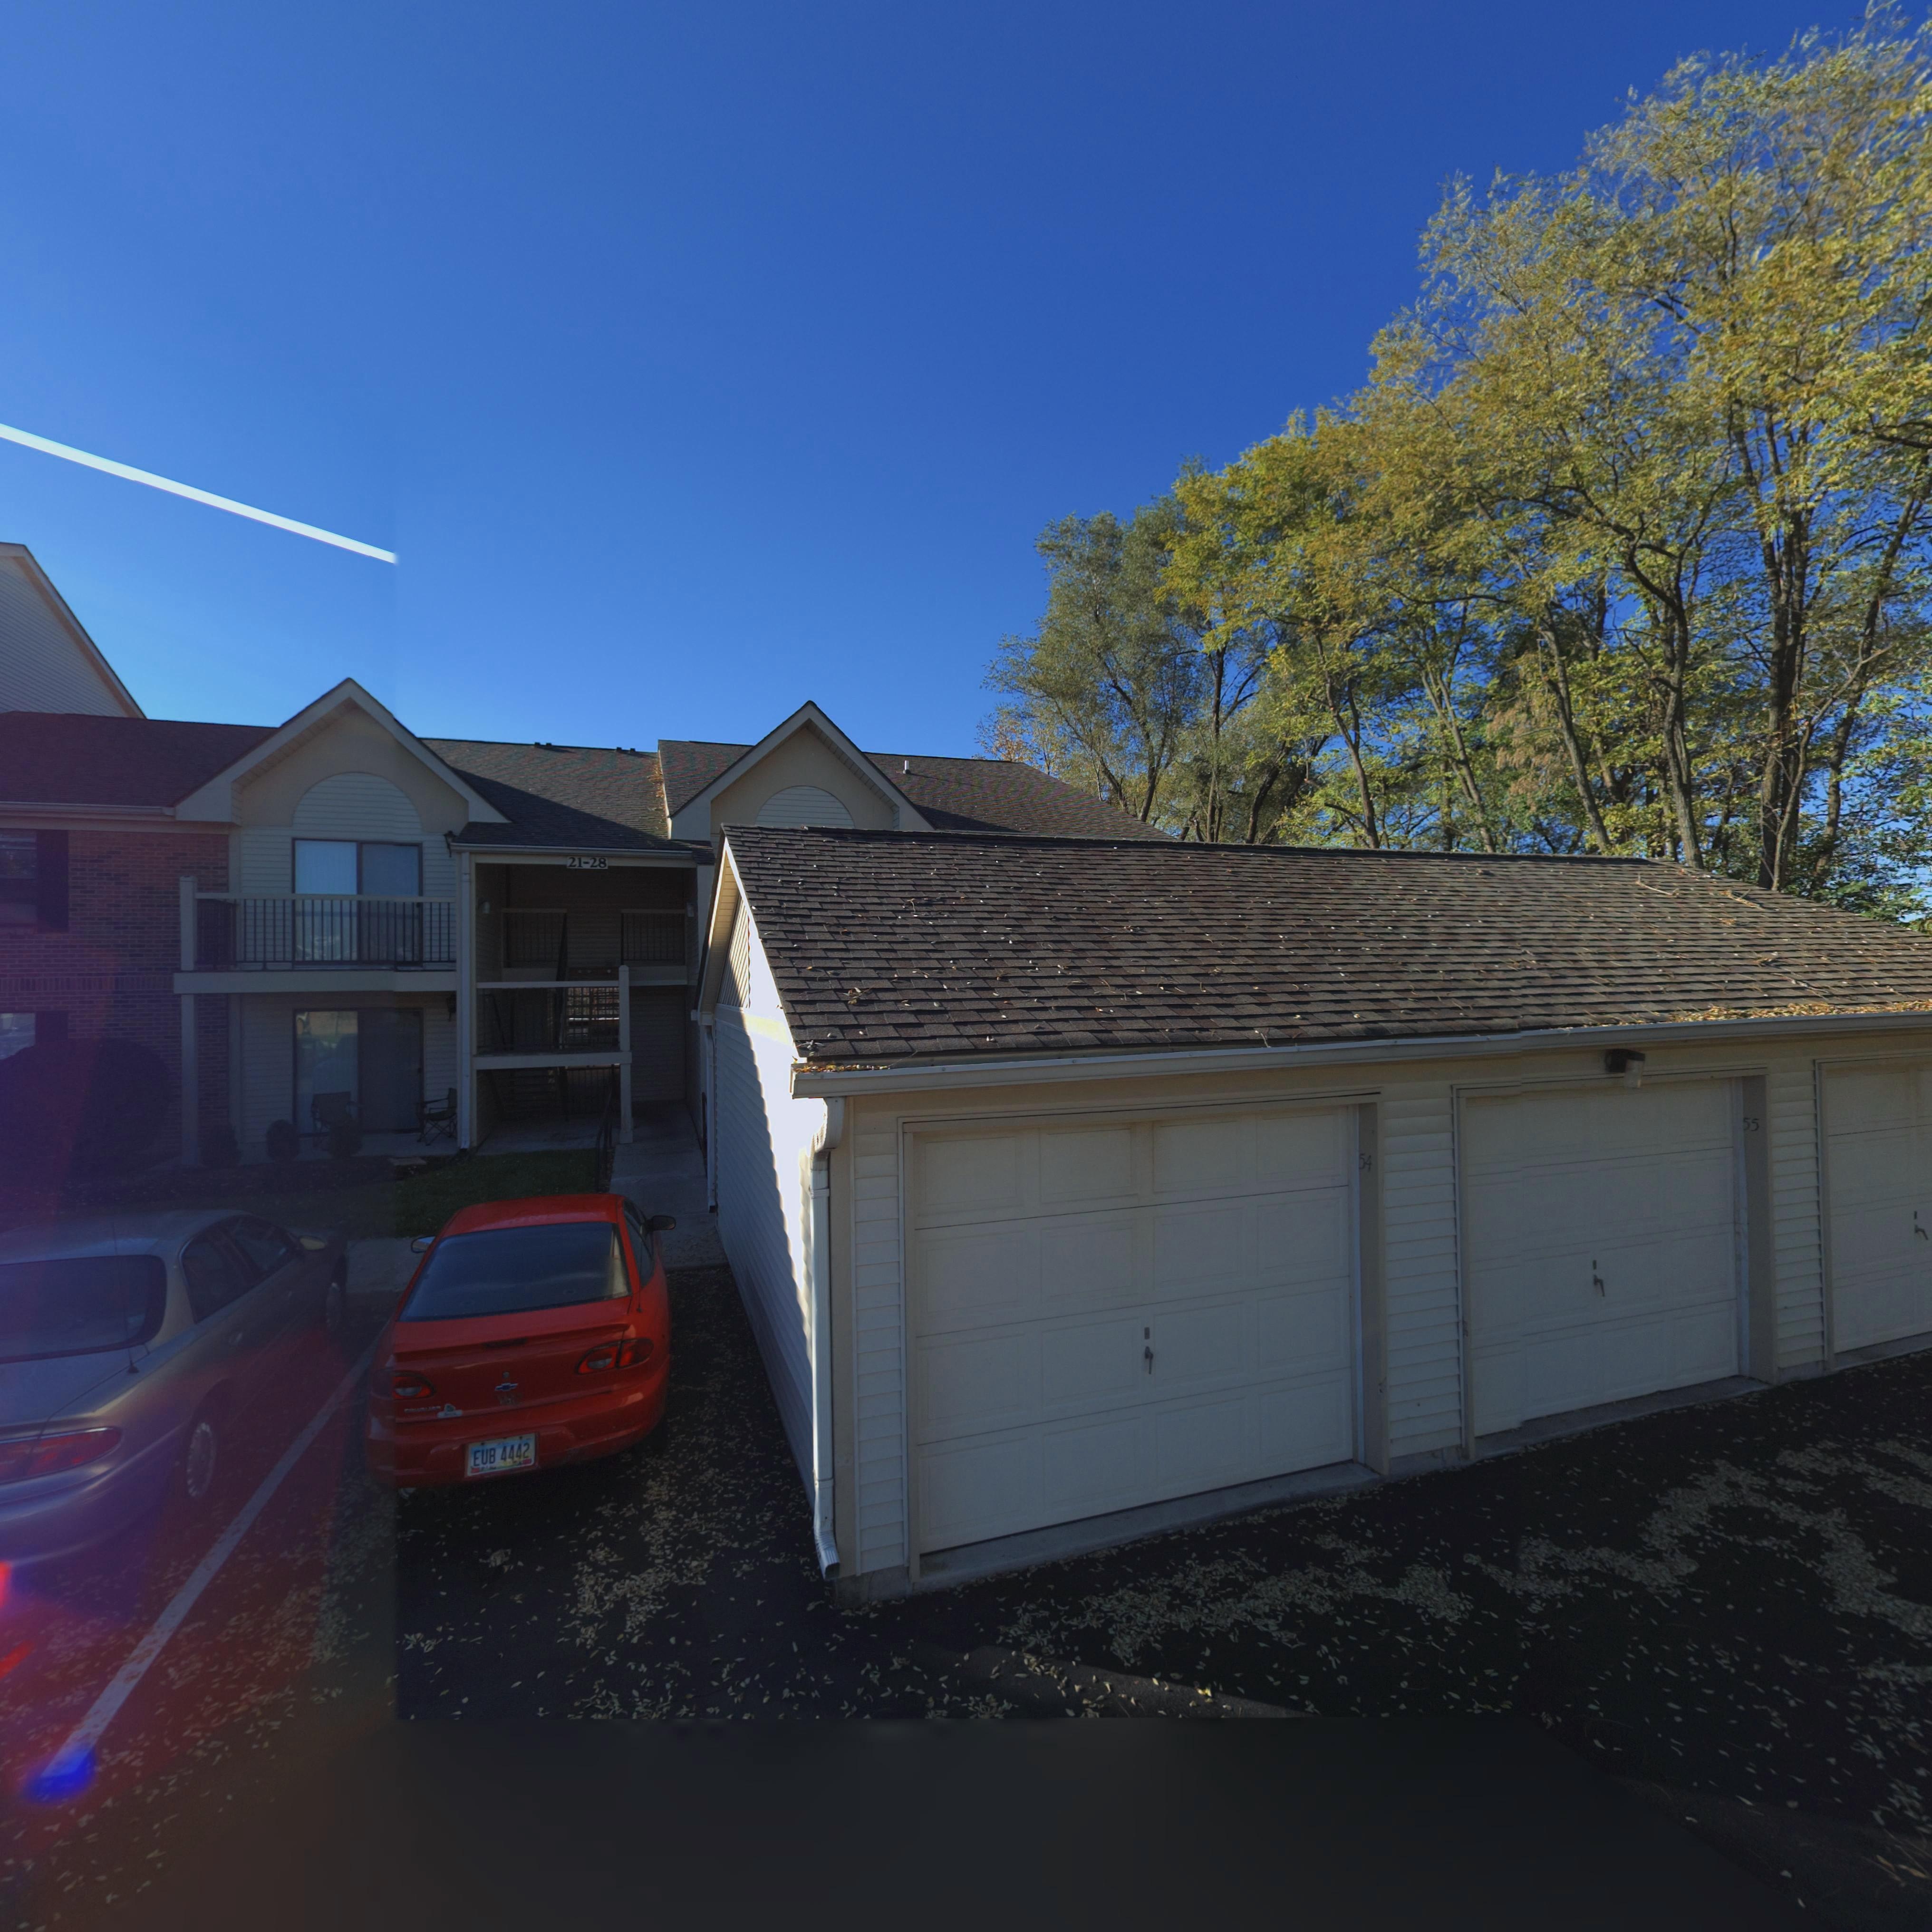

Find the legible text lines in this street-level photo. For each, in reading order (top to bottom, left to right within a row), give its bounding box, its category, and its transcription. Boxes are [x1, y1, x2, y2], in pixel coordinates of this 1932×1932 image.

[567, 856, 607, 868] StreetNumber: 21-28
[1742, 1116, 1759, 1133] StreetNumber: 55
[1357, 1150, 1373, 1172] StreetNumber: 54